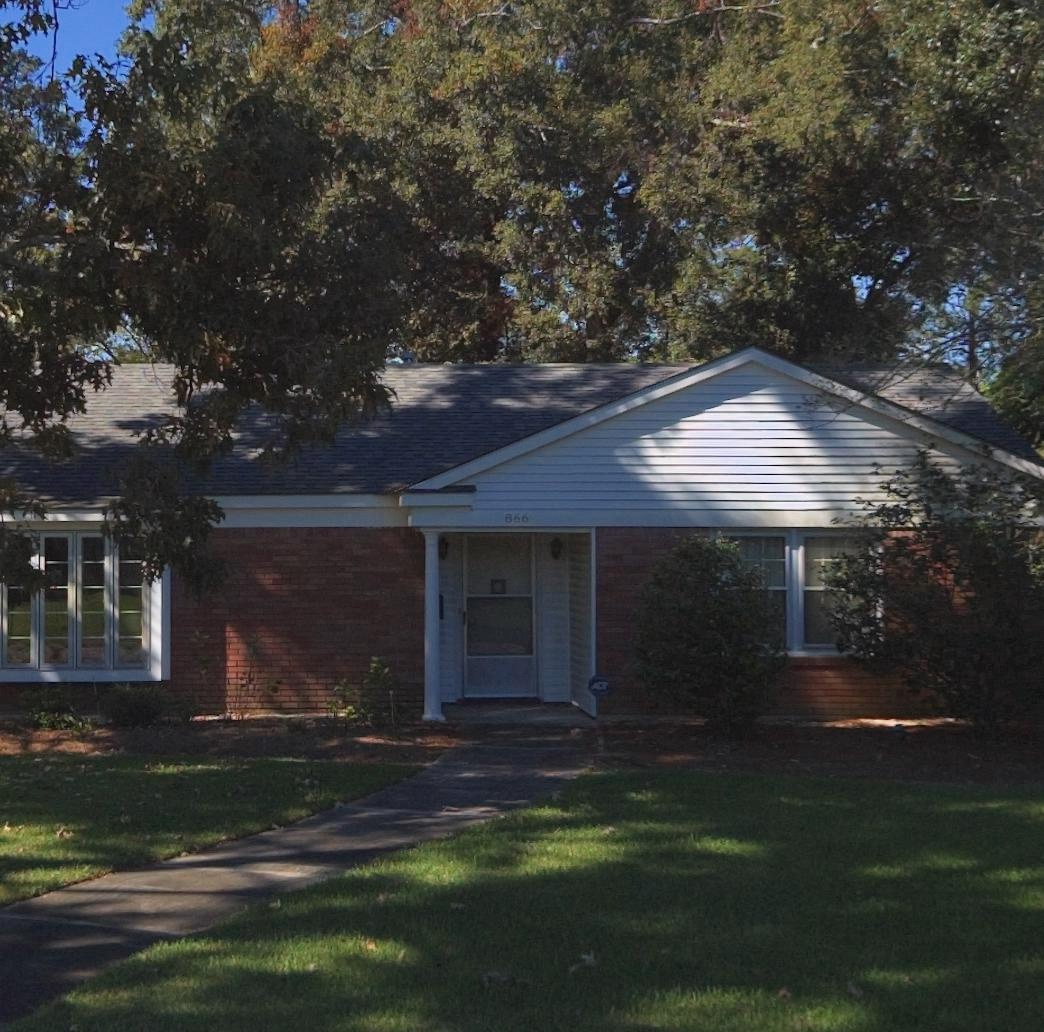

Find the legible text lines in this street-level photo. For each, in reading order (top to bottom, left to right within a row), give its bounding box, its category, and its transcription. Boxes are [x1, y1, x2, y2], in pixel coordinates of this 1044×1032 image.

[503, 511, 530, 525] StreetNumber: 866
[589, 680, 610, 692] None: ADT